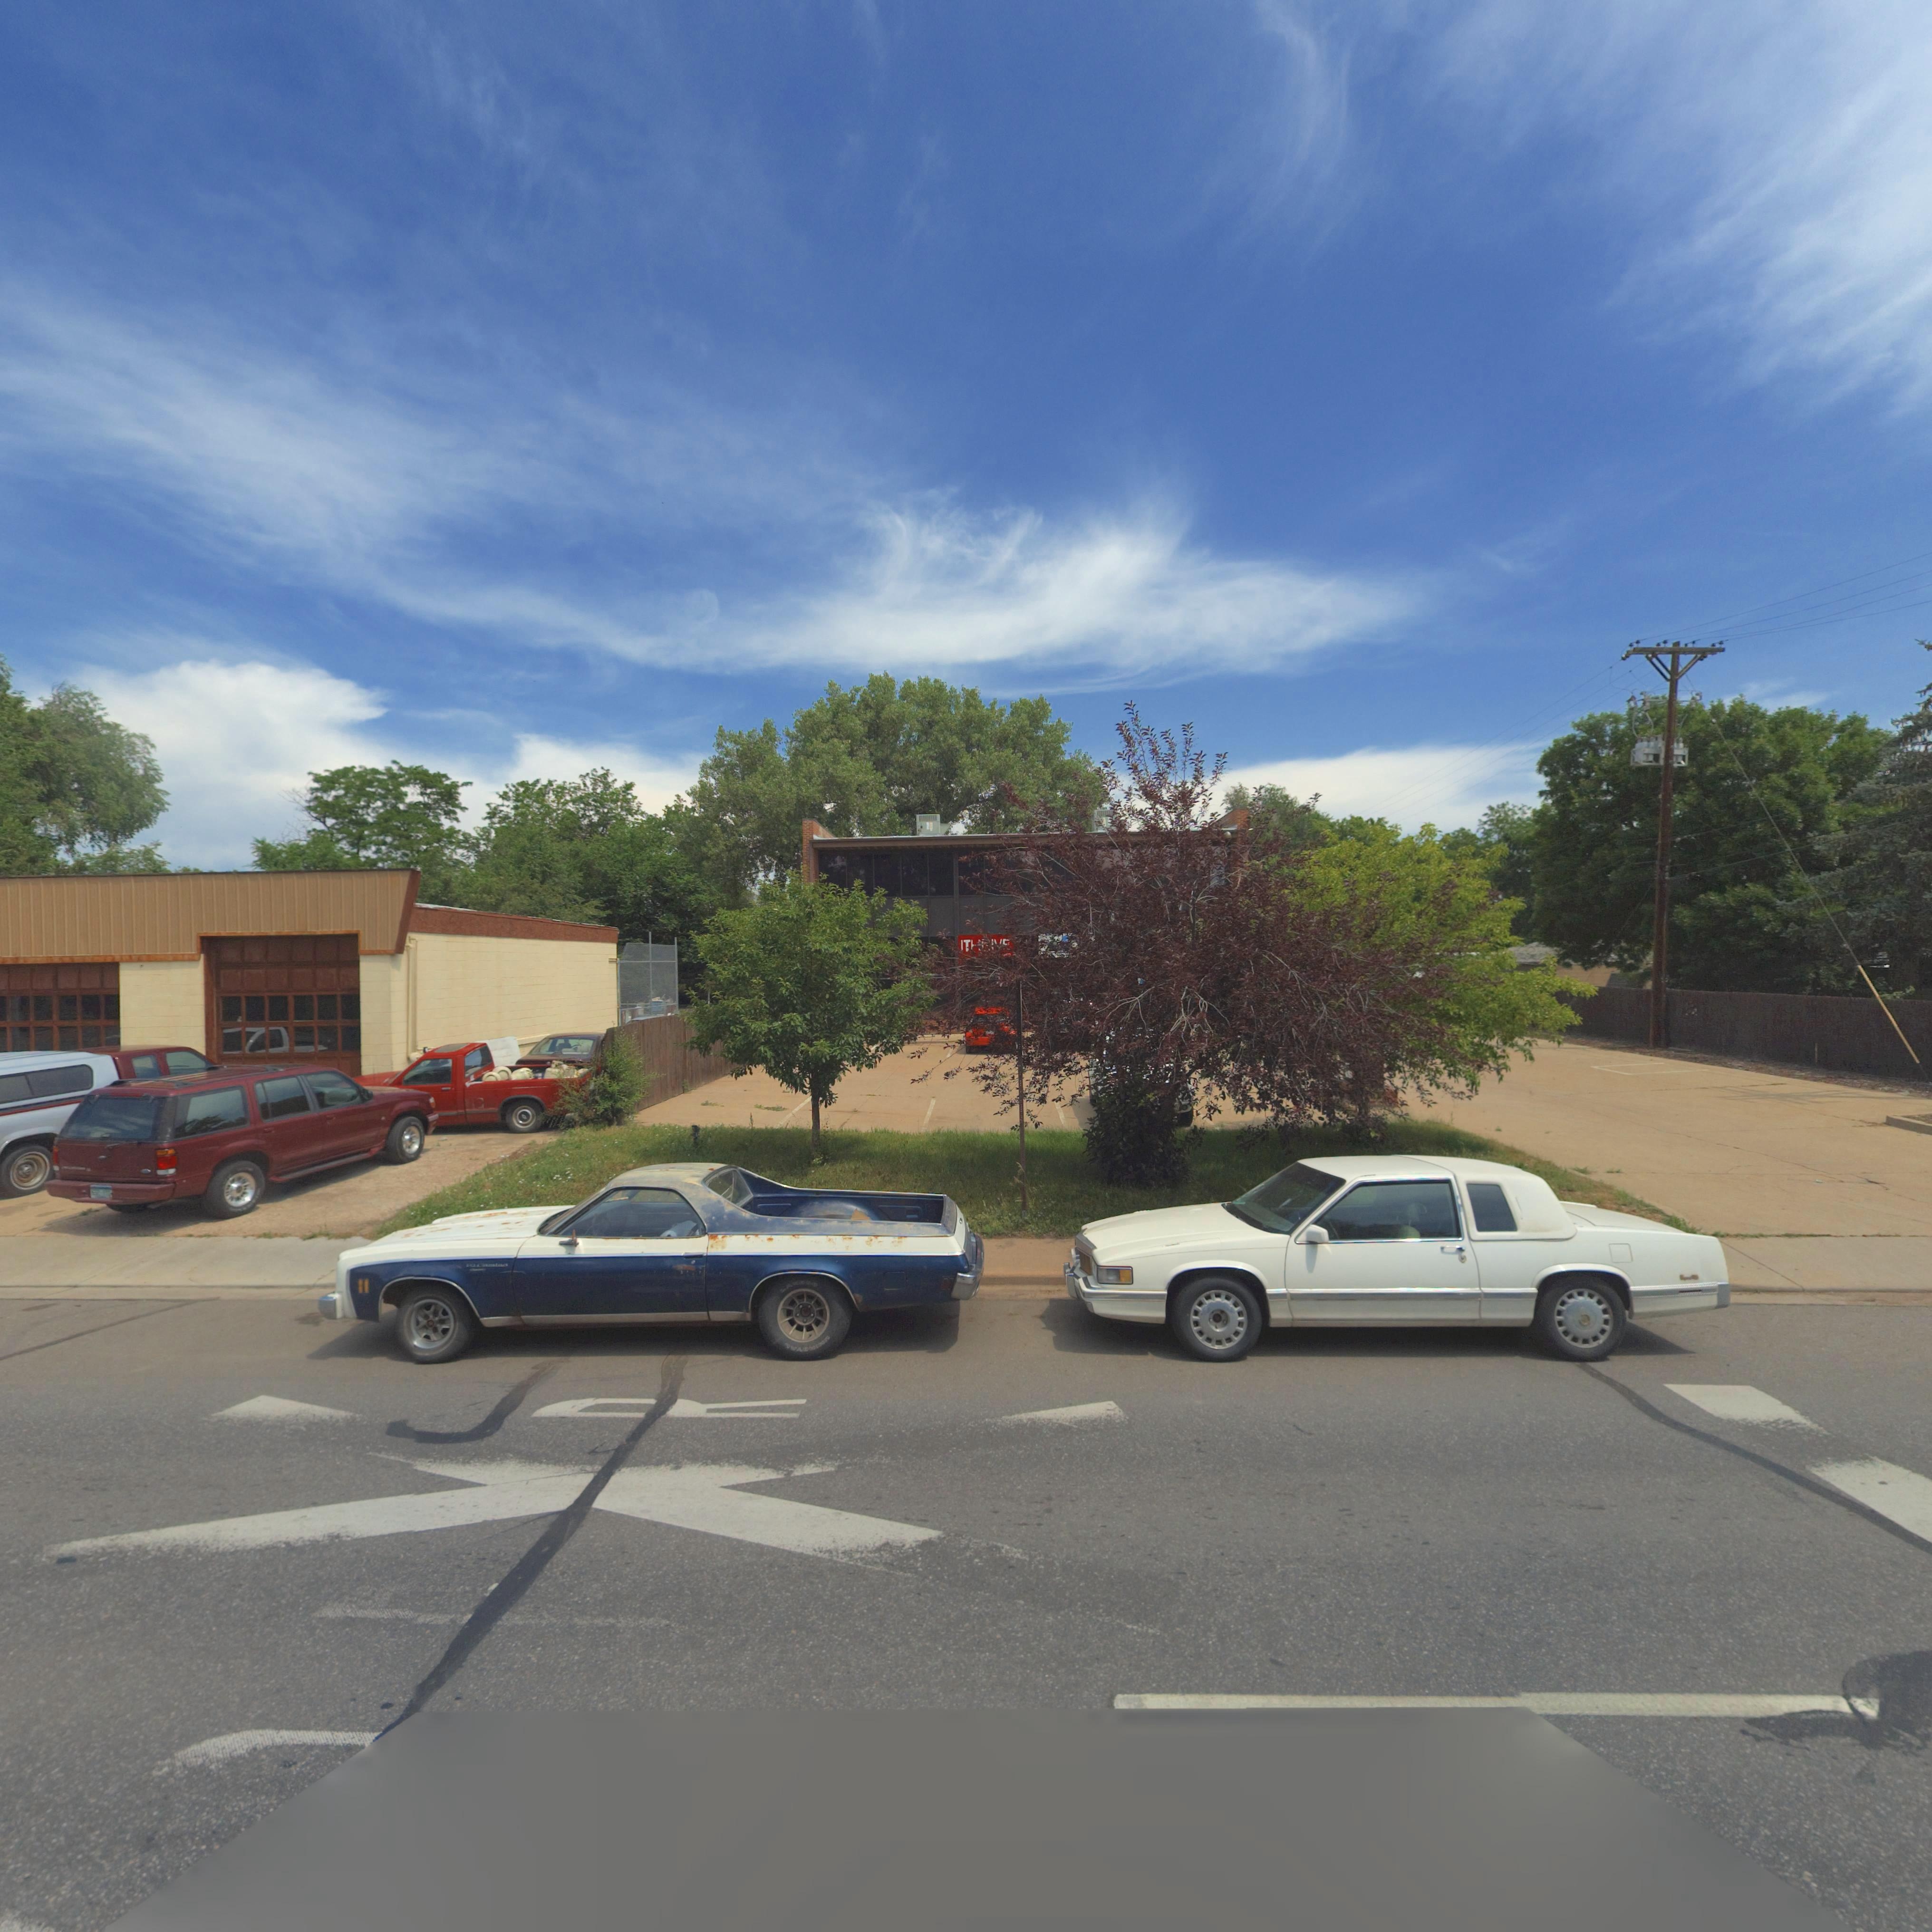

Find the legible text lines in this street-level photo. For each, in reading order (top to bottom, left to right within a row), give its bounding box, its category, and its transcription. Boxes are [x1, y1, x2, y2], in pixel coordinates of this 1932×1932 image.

[960, 938, 994, 952] BusinessName: ITH**